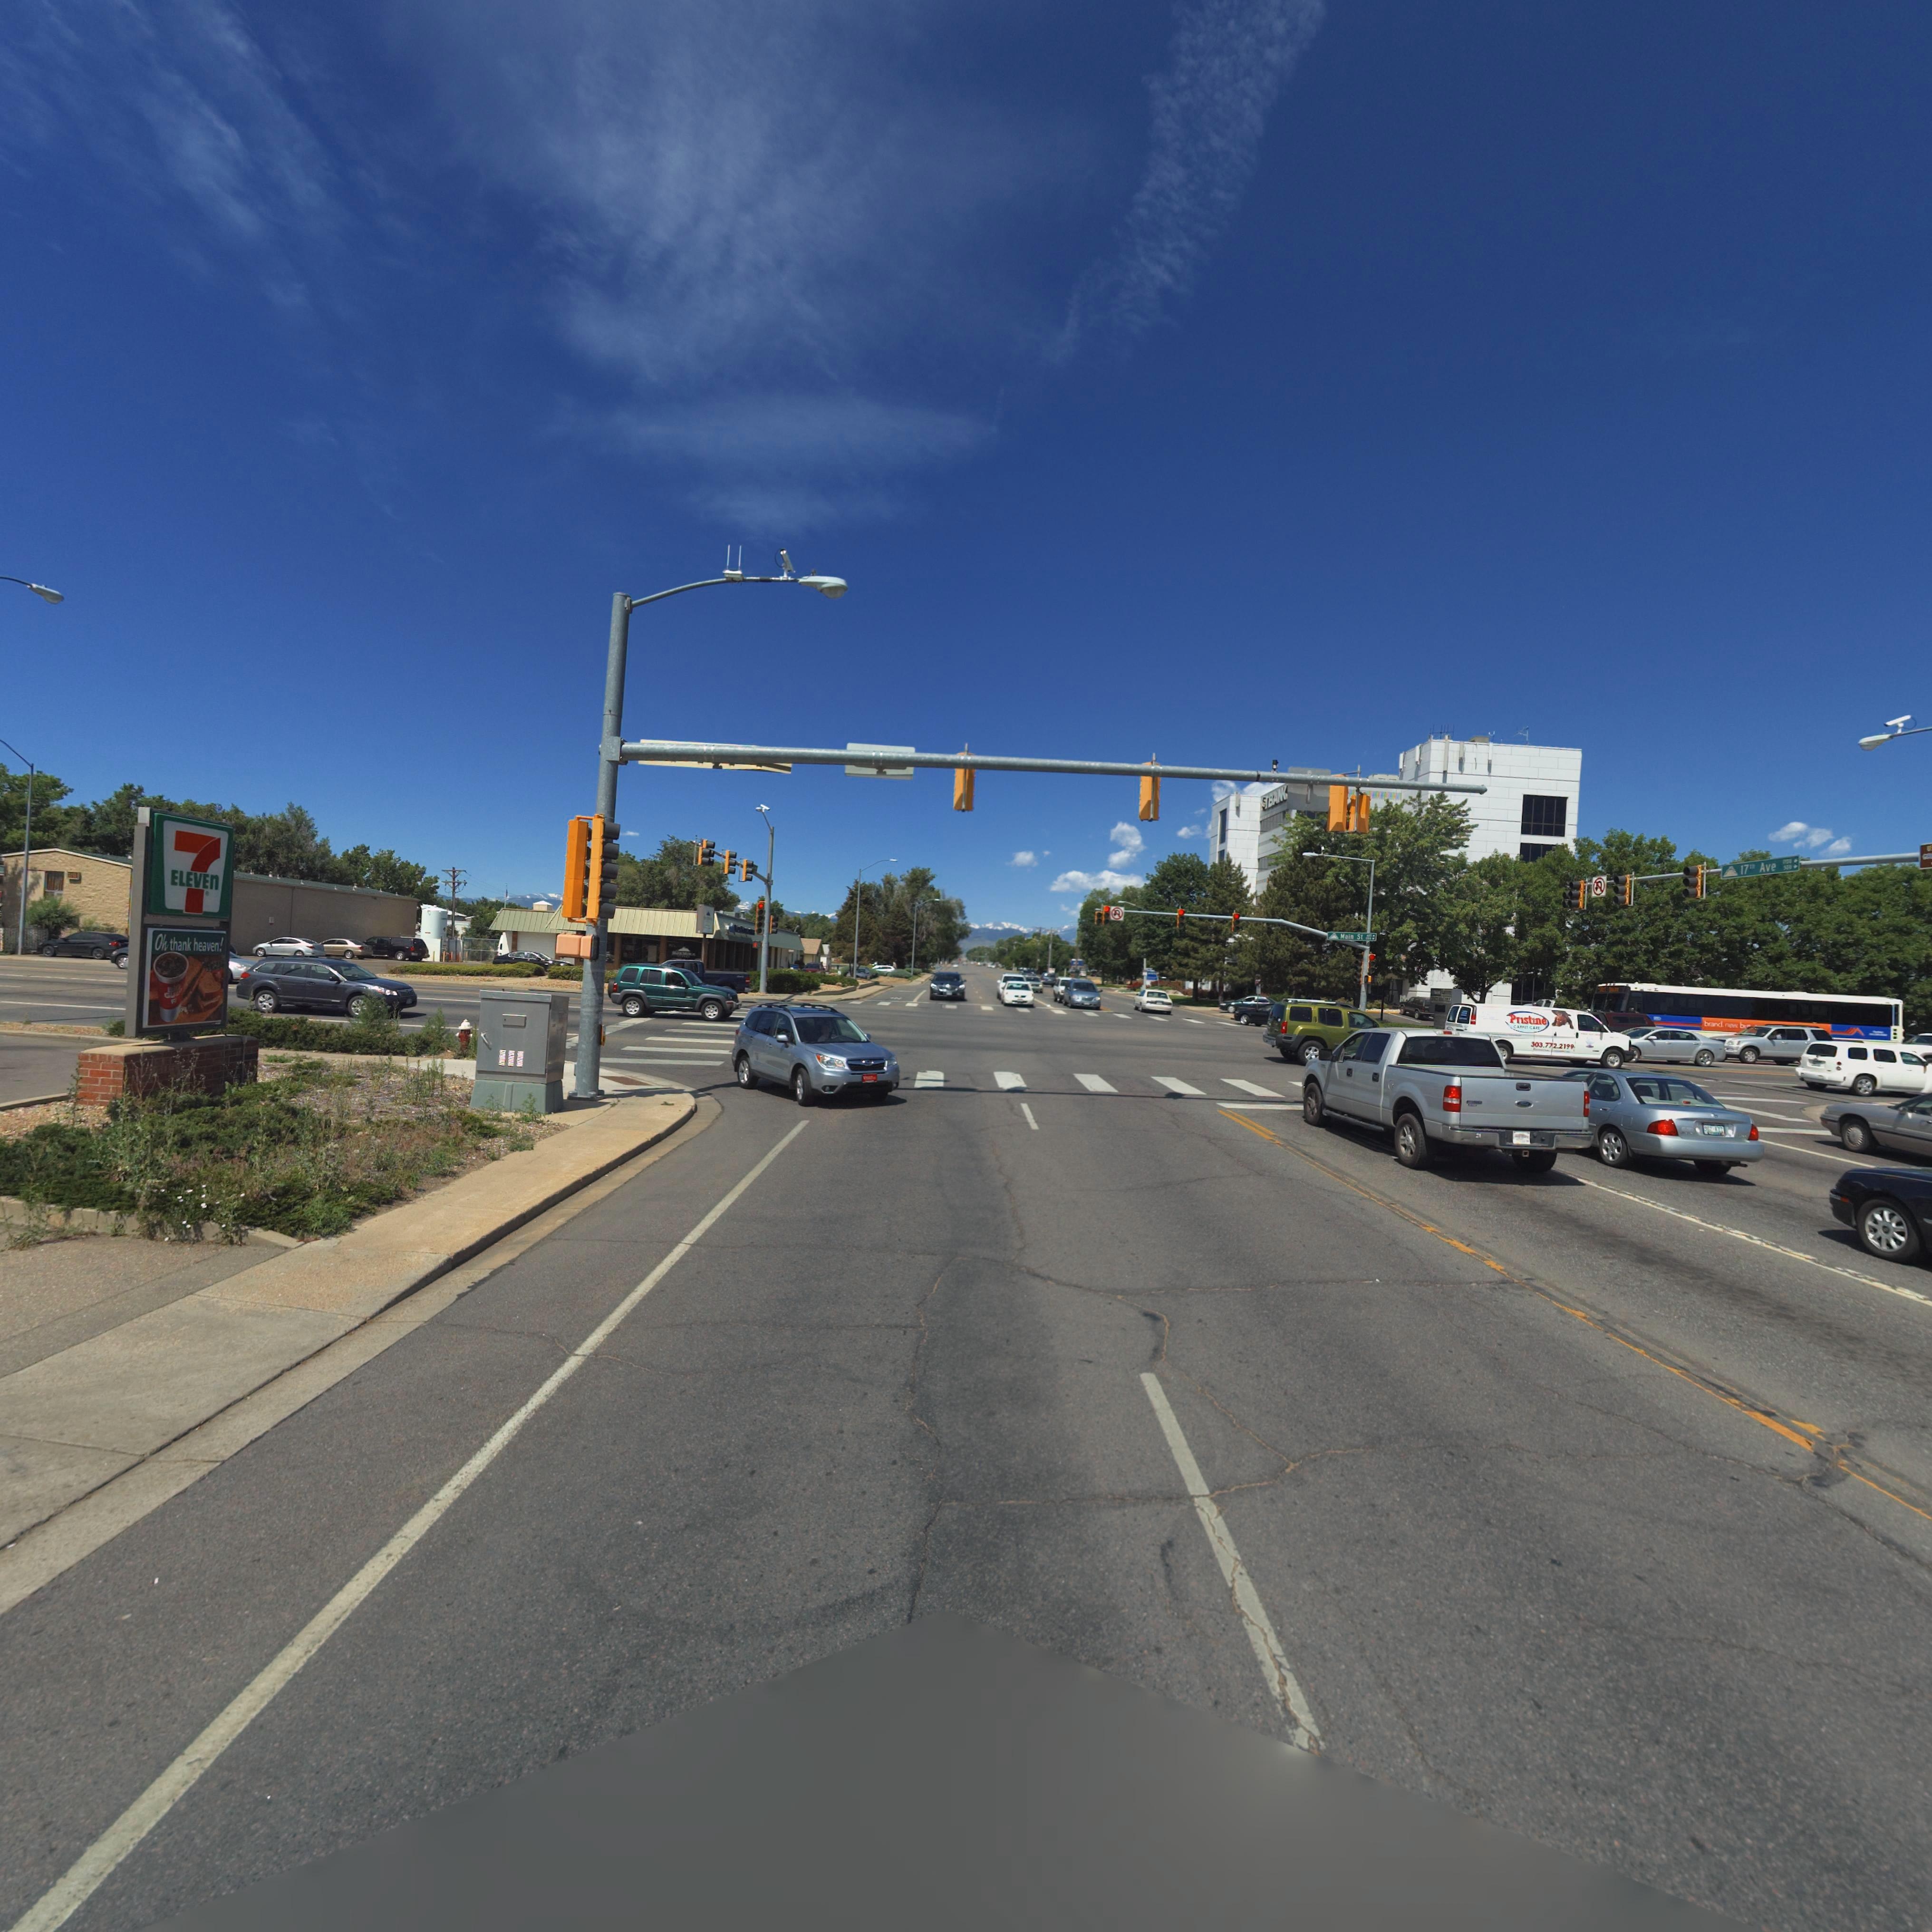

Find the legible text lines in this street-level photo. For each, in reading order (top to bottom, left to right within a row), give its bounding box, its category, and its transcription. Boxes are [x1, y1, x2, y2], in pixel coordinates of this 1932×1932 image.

[1261, 784, 1288, 811] BusinessName: *S* BAN*
[173, 829, 221, 913] BusinessName: 7
[1740, 862, 1777, 875] StreetName: 17th Ave
[1782, 858, 1792, 864] StreetNumberRange: **00
[1783, 864, 1797, 870] StreetNumberRange: 500->
[170, 869, 219, 890] BusinessName: ELEVEn
[1340, 933, 1363, 939] BusinessName: Main St